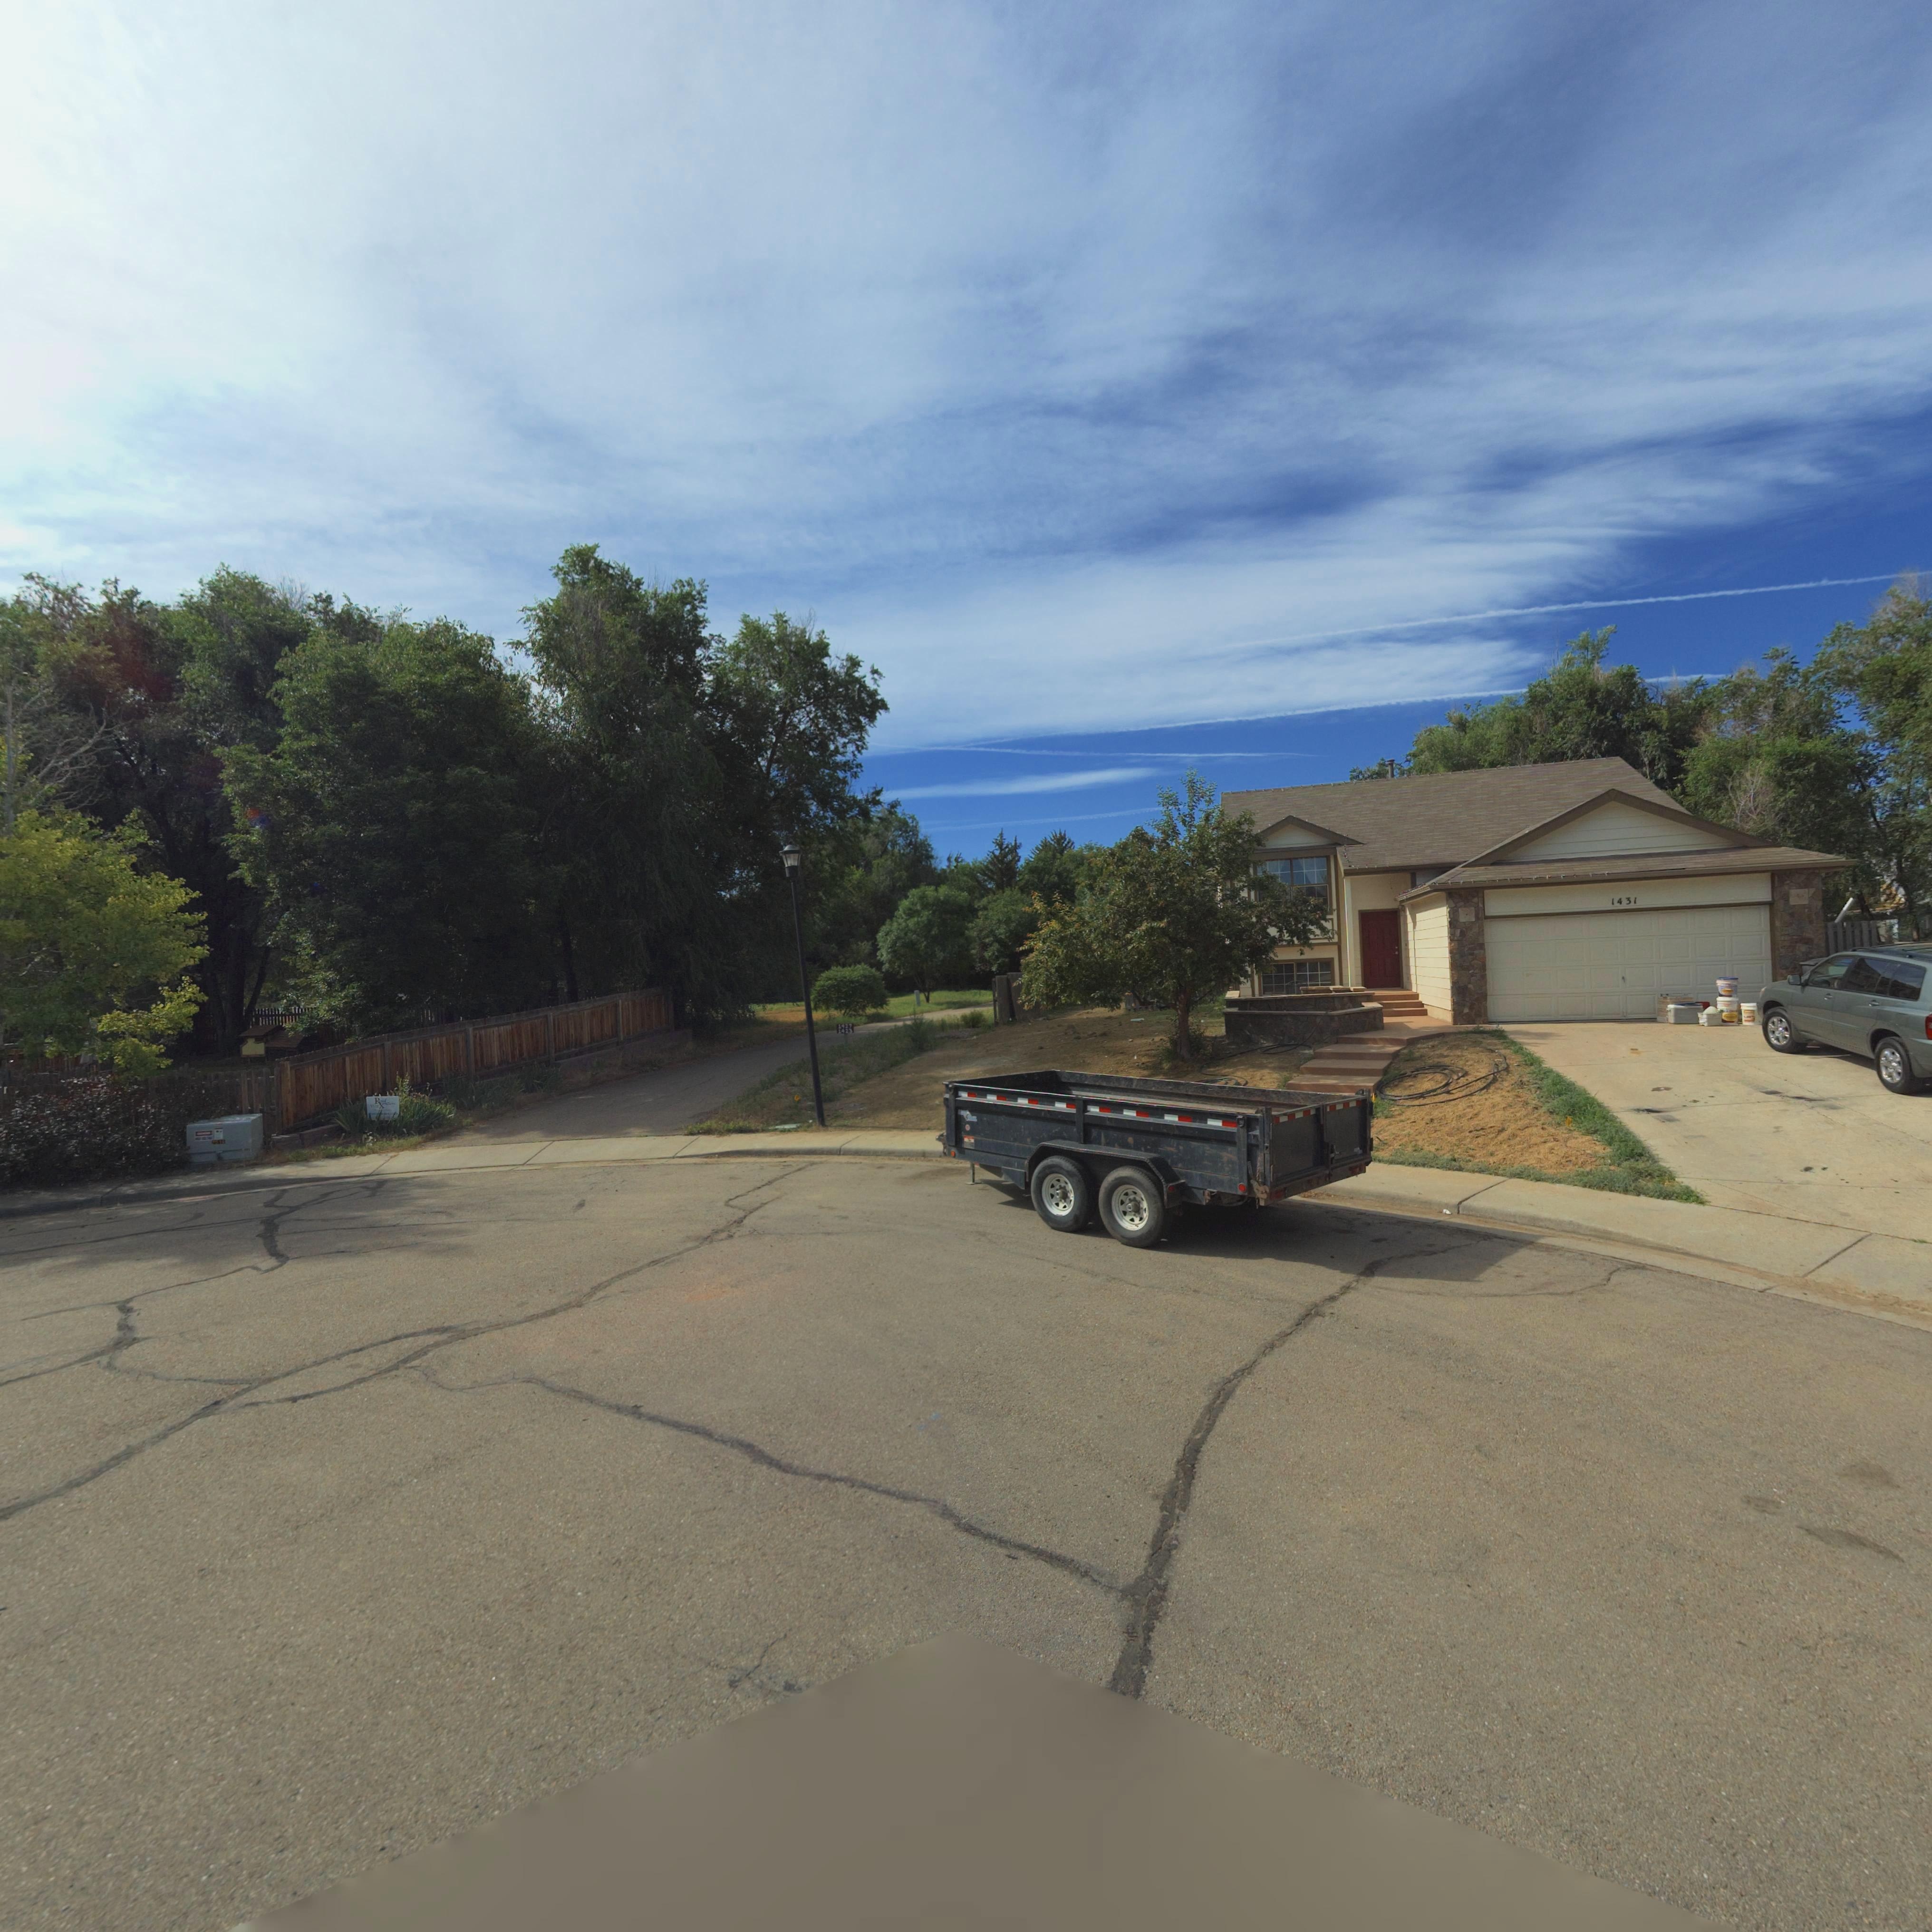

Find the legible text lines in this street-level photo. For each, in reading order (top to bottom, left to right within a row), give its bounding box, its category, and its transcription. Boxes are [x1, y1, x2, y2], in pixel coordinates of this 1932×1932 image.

[1611, 896, 1637, 906] StreetNumber: 1431
[838, 1024, 852, 1028] StreetNumber: 1427
[838, 1028, 853, 1034] StreetNumber: 1423